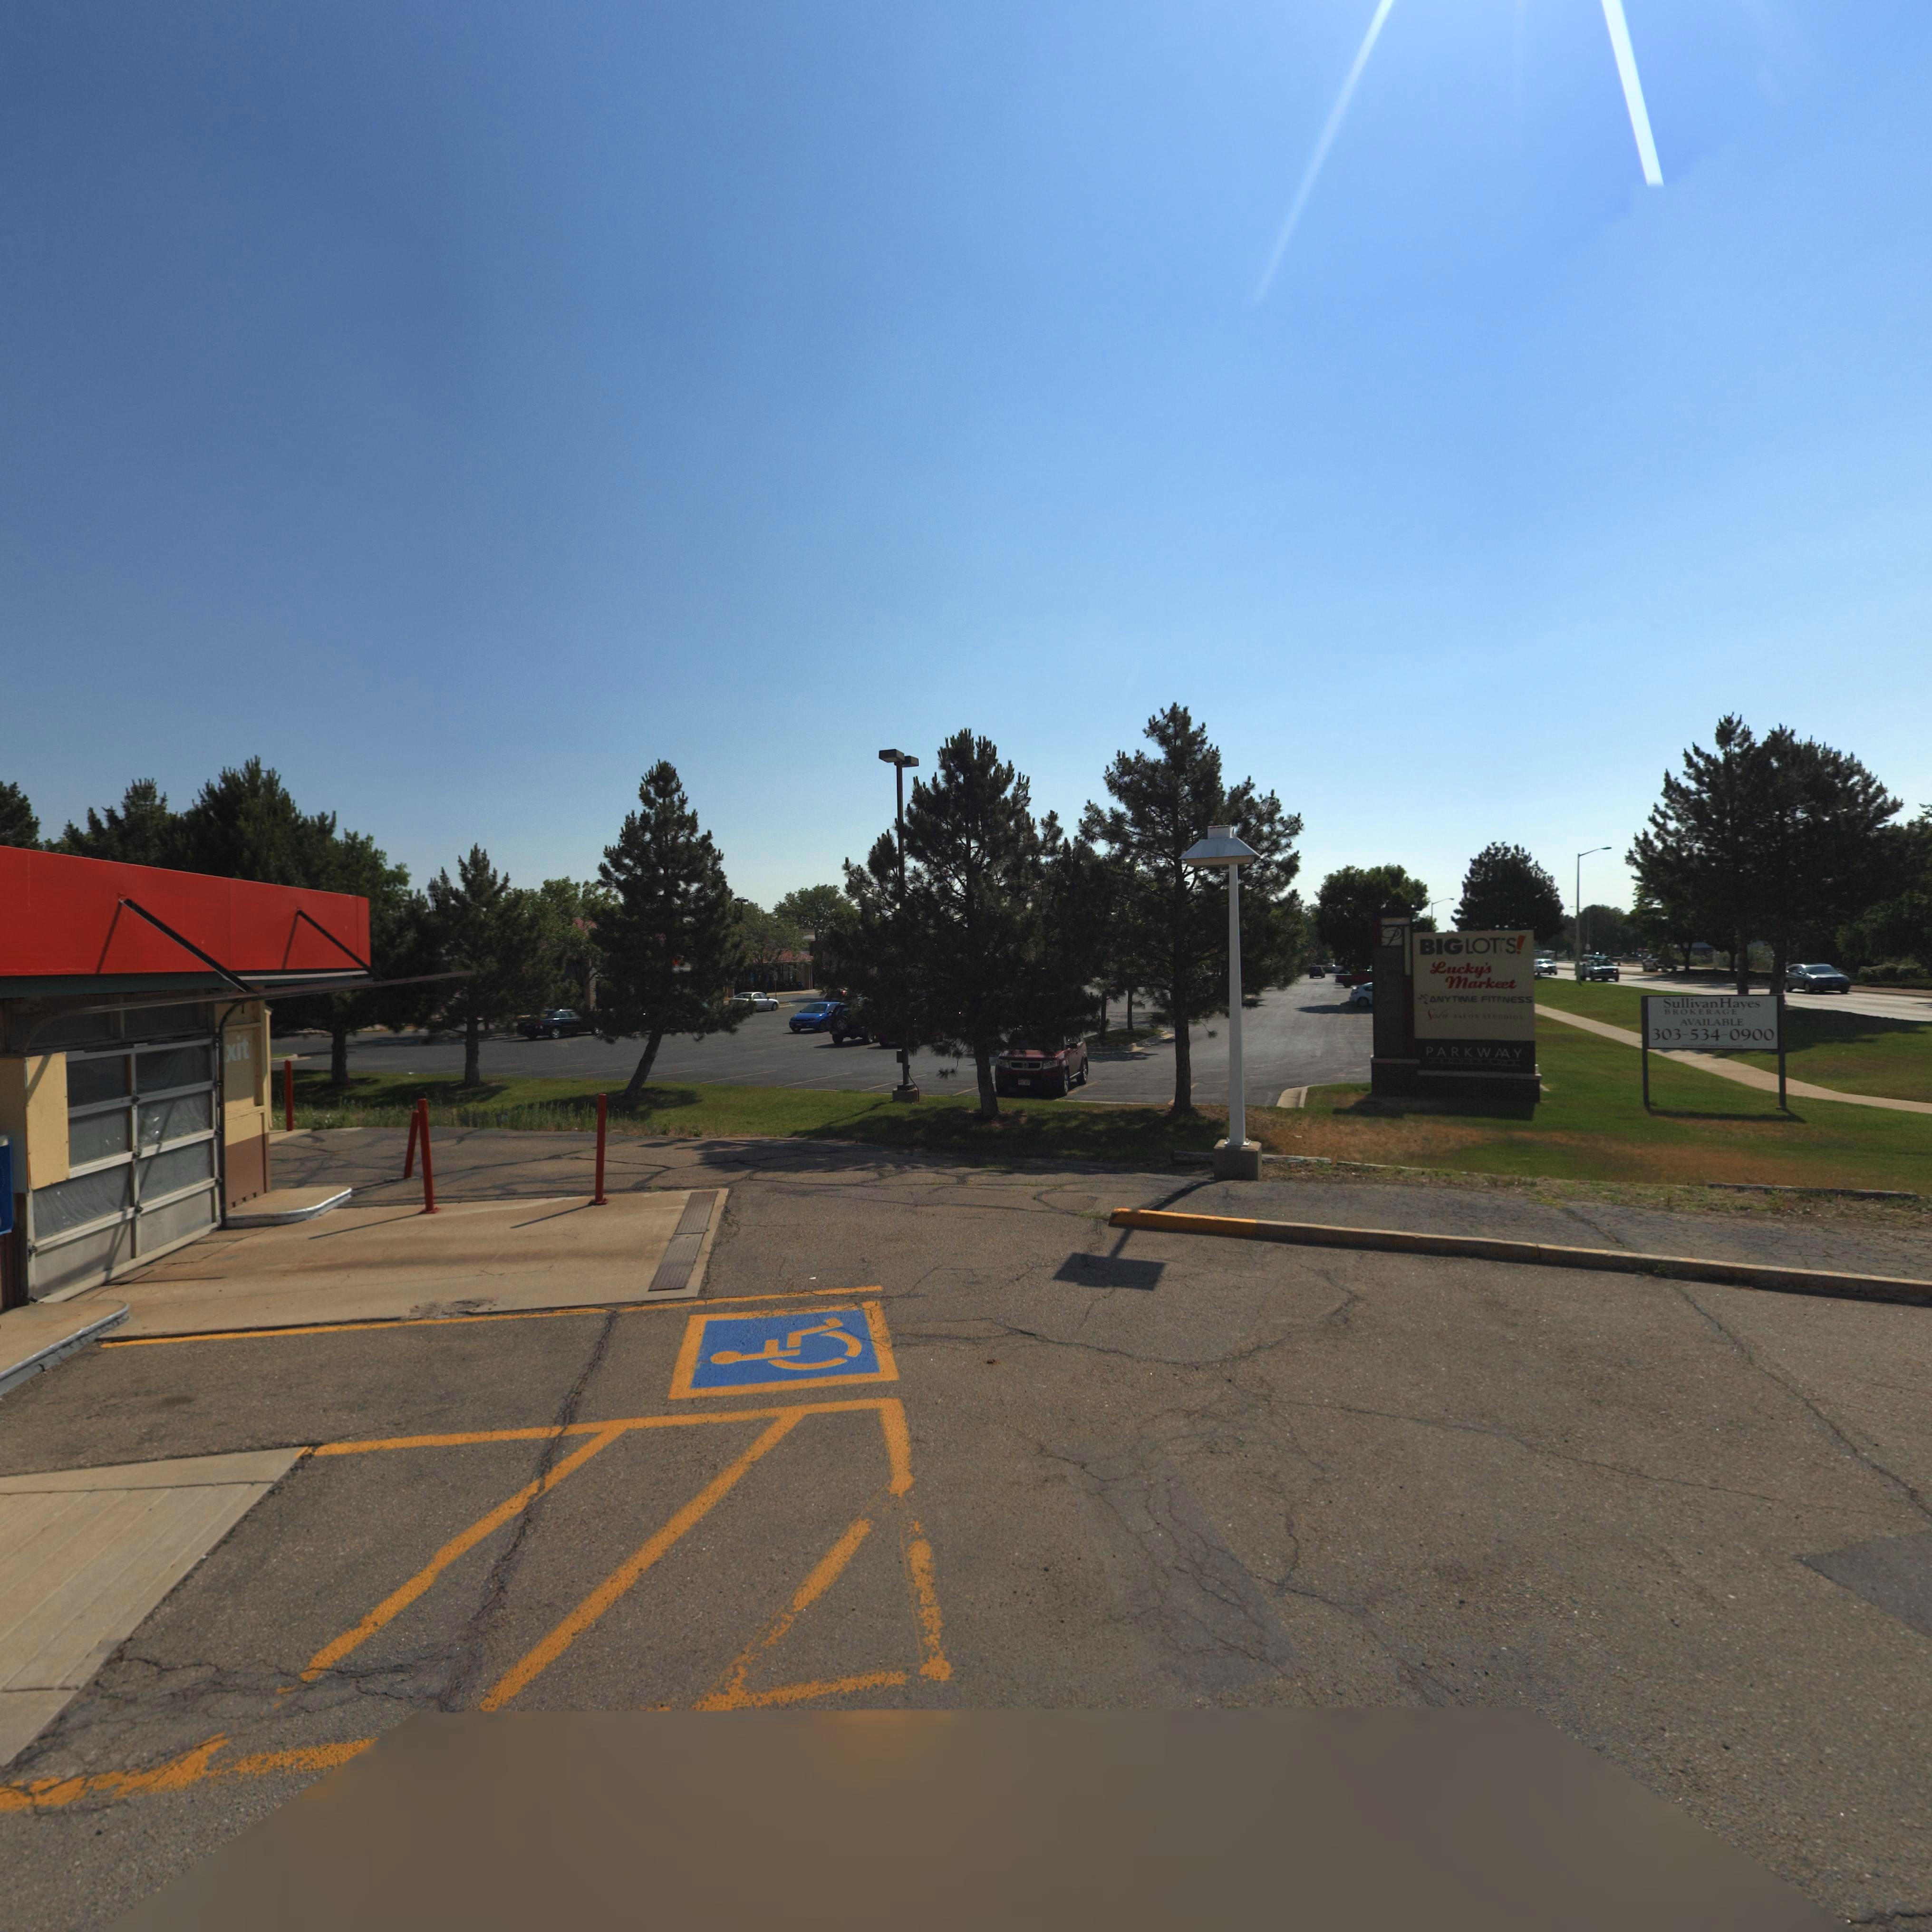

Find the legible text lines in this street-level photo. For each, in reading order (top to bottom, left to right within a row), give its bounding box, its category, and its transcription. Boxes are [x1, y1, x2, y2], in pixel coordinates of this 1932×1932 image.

[1419, 934, 1526, 955] BusinessName: BIG LOT*S!
[1429, 960, 1492, 978] BusinessName: Lucky's
[1444, 975, 1517, 989] BusinessName: Mark*et
[1429, 995, 1532, 1003] BusinessName: ANYTIME FITNESS
[1424, 1007, 1523, 1022] BusinessName: Sola SALON ST*UDIOS